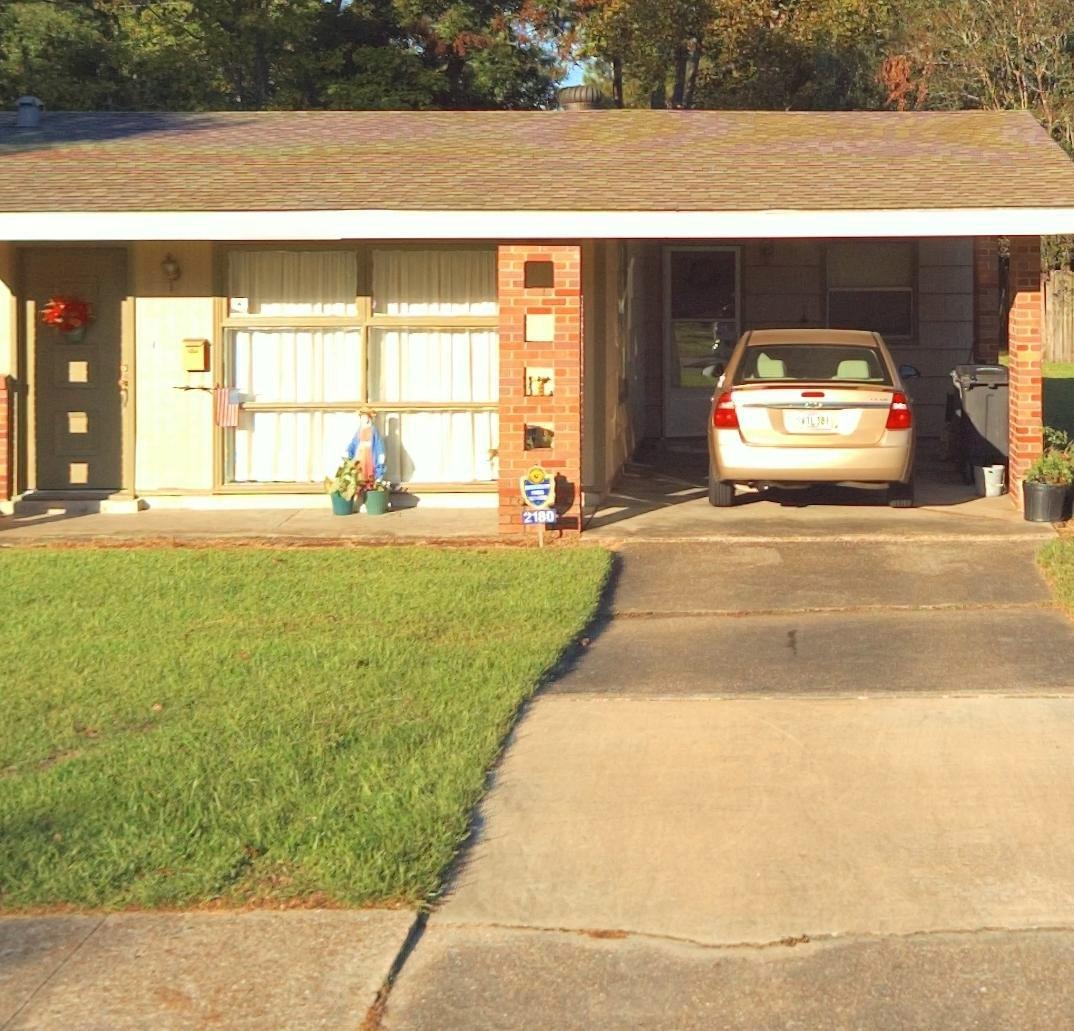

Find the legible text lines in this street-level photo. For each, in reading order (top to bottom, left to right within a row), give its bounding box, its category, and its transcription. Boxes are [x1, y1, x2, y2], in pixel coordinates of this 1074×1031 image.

[521, 509, 556, 524] StreetNumber: 2180